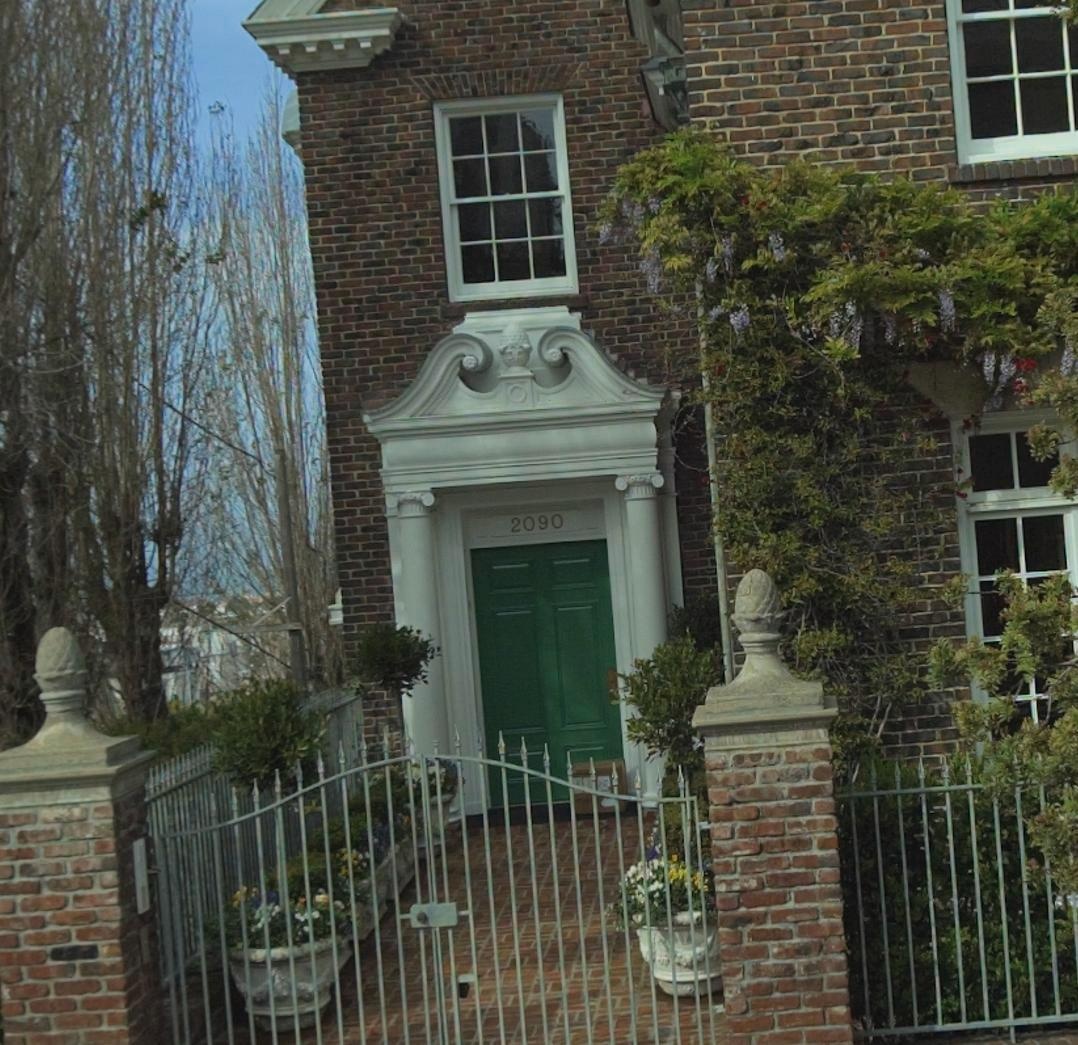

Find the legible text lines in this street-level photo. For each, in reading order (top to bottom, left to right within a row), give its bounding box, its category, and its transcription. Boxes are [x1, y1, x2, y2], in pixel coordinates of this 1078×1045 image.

[508, 511, 566, 536] StreetNumber: 2090